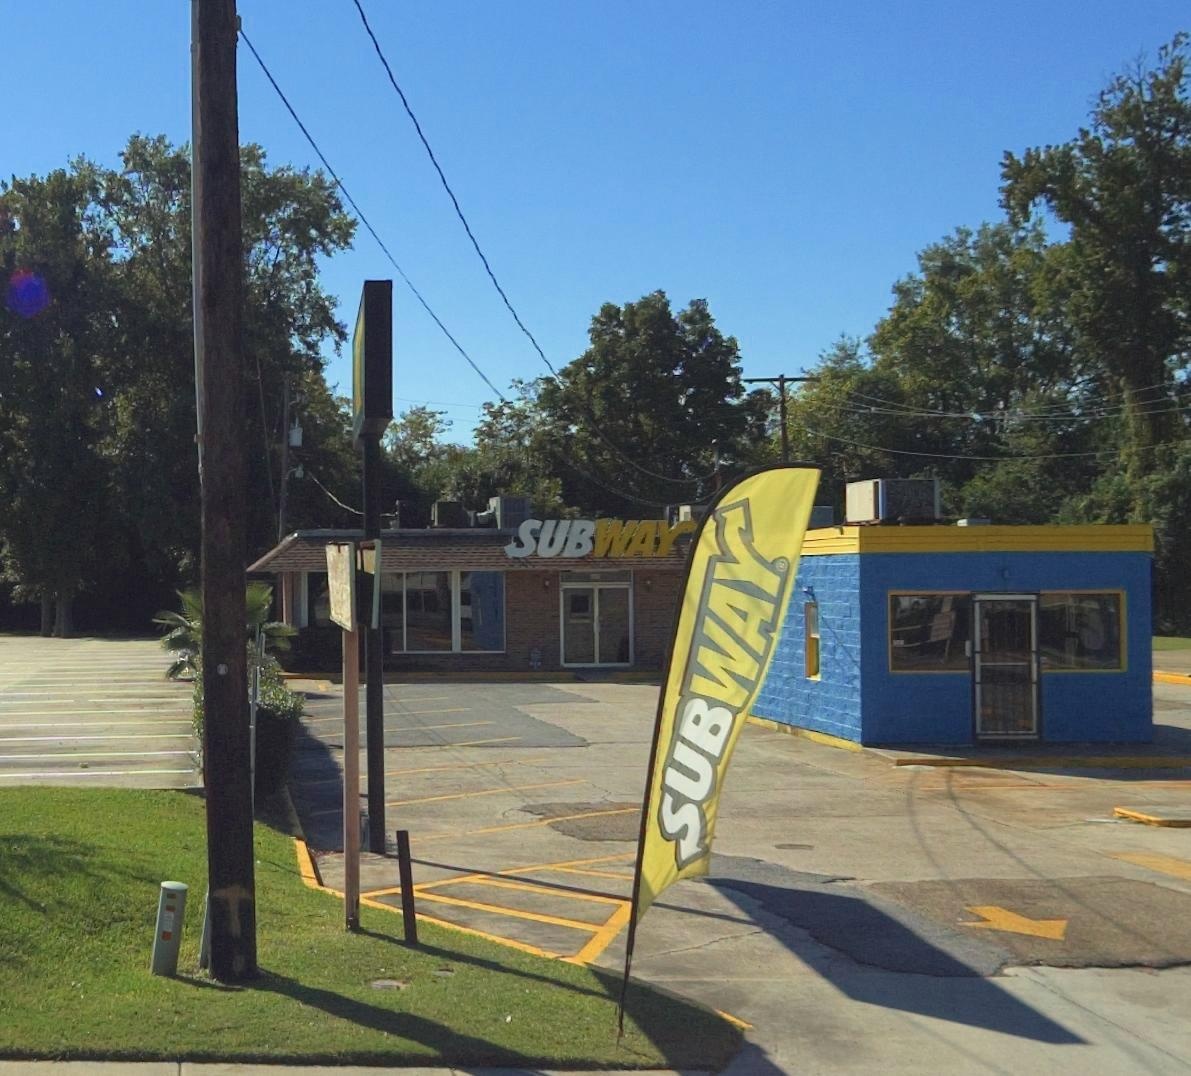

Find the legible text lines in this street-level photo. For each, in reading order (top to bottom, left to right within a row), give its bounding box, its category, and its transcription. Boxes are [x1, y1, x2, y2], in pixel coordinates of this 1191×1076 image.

[500, 516, 702, 561] BusinessName: SUBWAY
[652, 493, 790, 876] BusinessName: SUBWAY